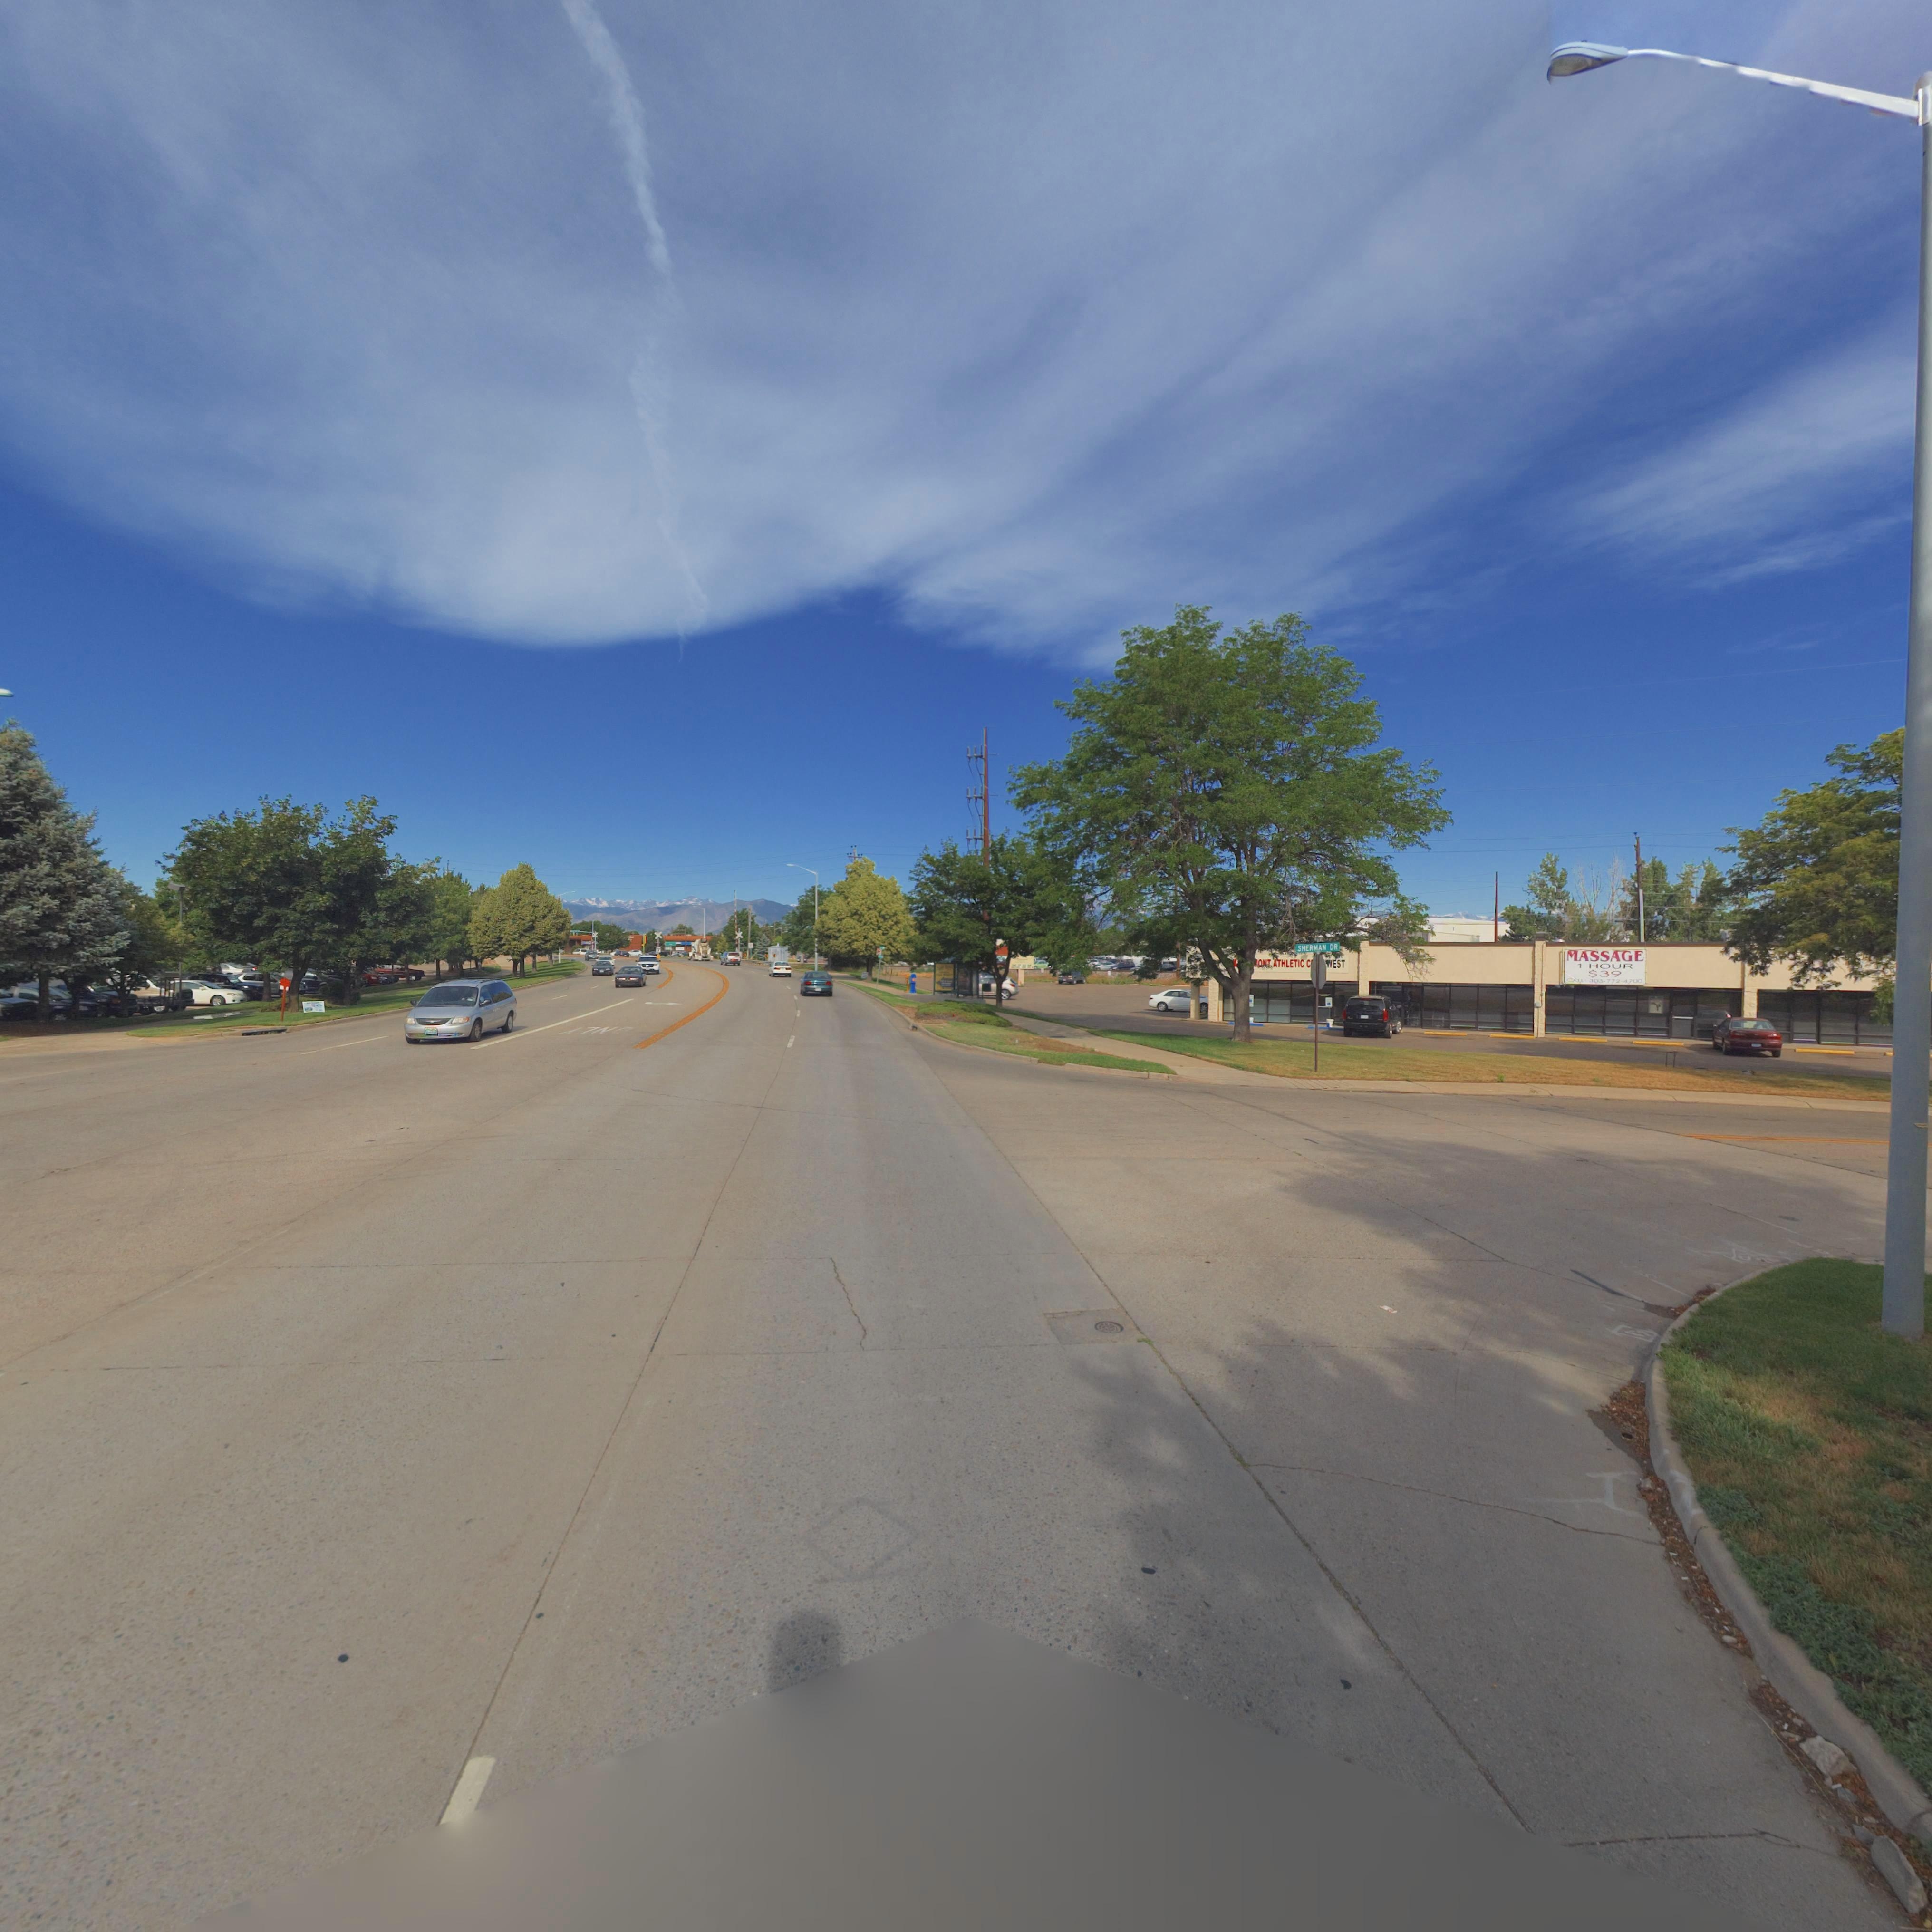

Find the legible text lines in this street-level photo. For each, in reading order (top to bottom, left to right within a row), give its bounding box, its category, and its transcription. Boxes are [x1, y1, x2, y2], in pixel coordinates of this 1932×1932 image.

[1297, 943, 1338, 952] StreetName: SHERMAN DR
[1253, 958, 1345, 968] BusinessName: AONT ATHLETIC C****EST